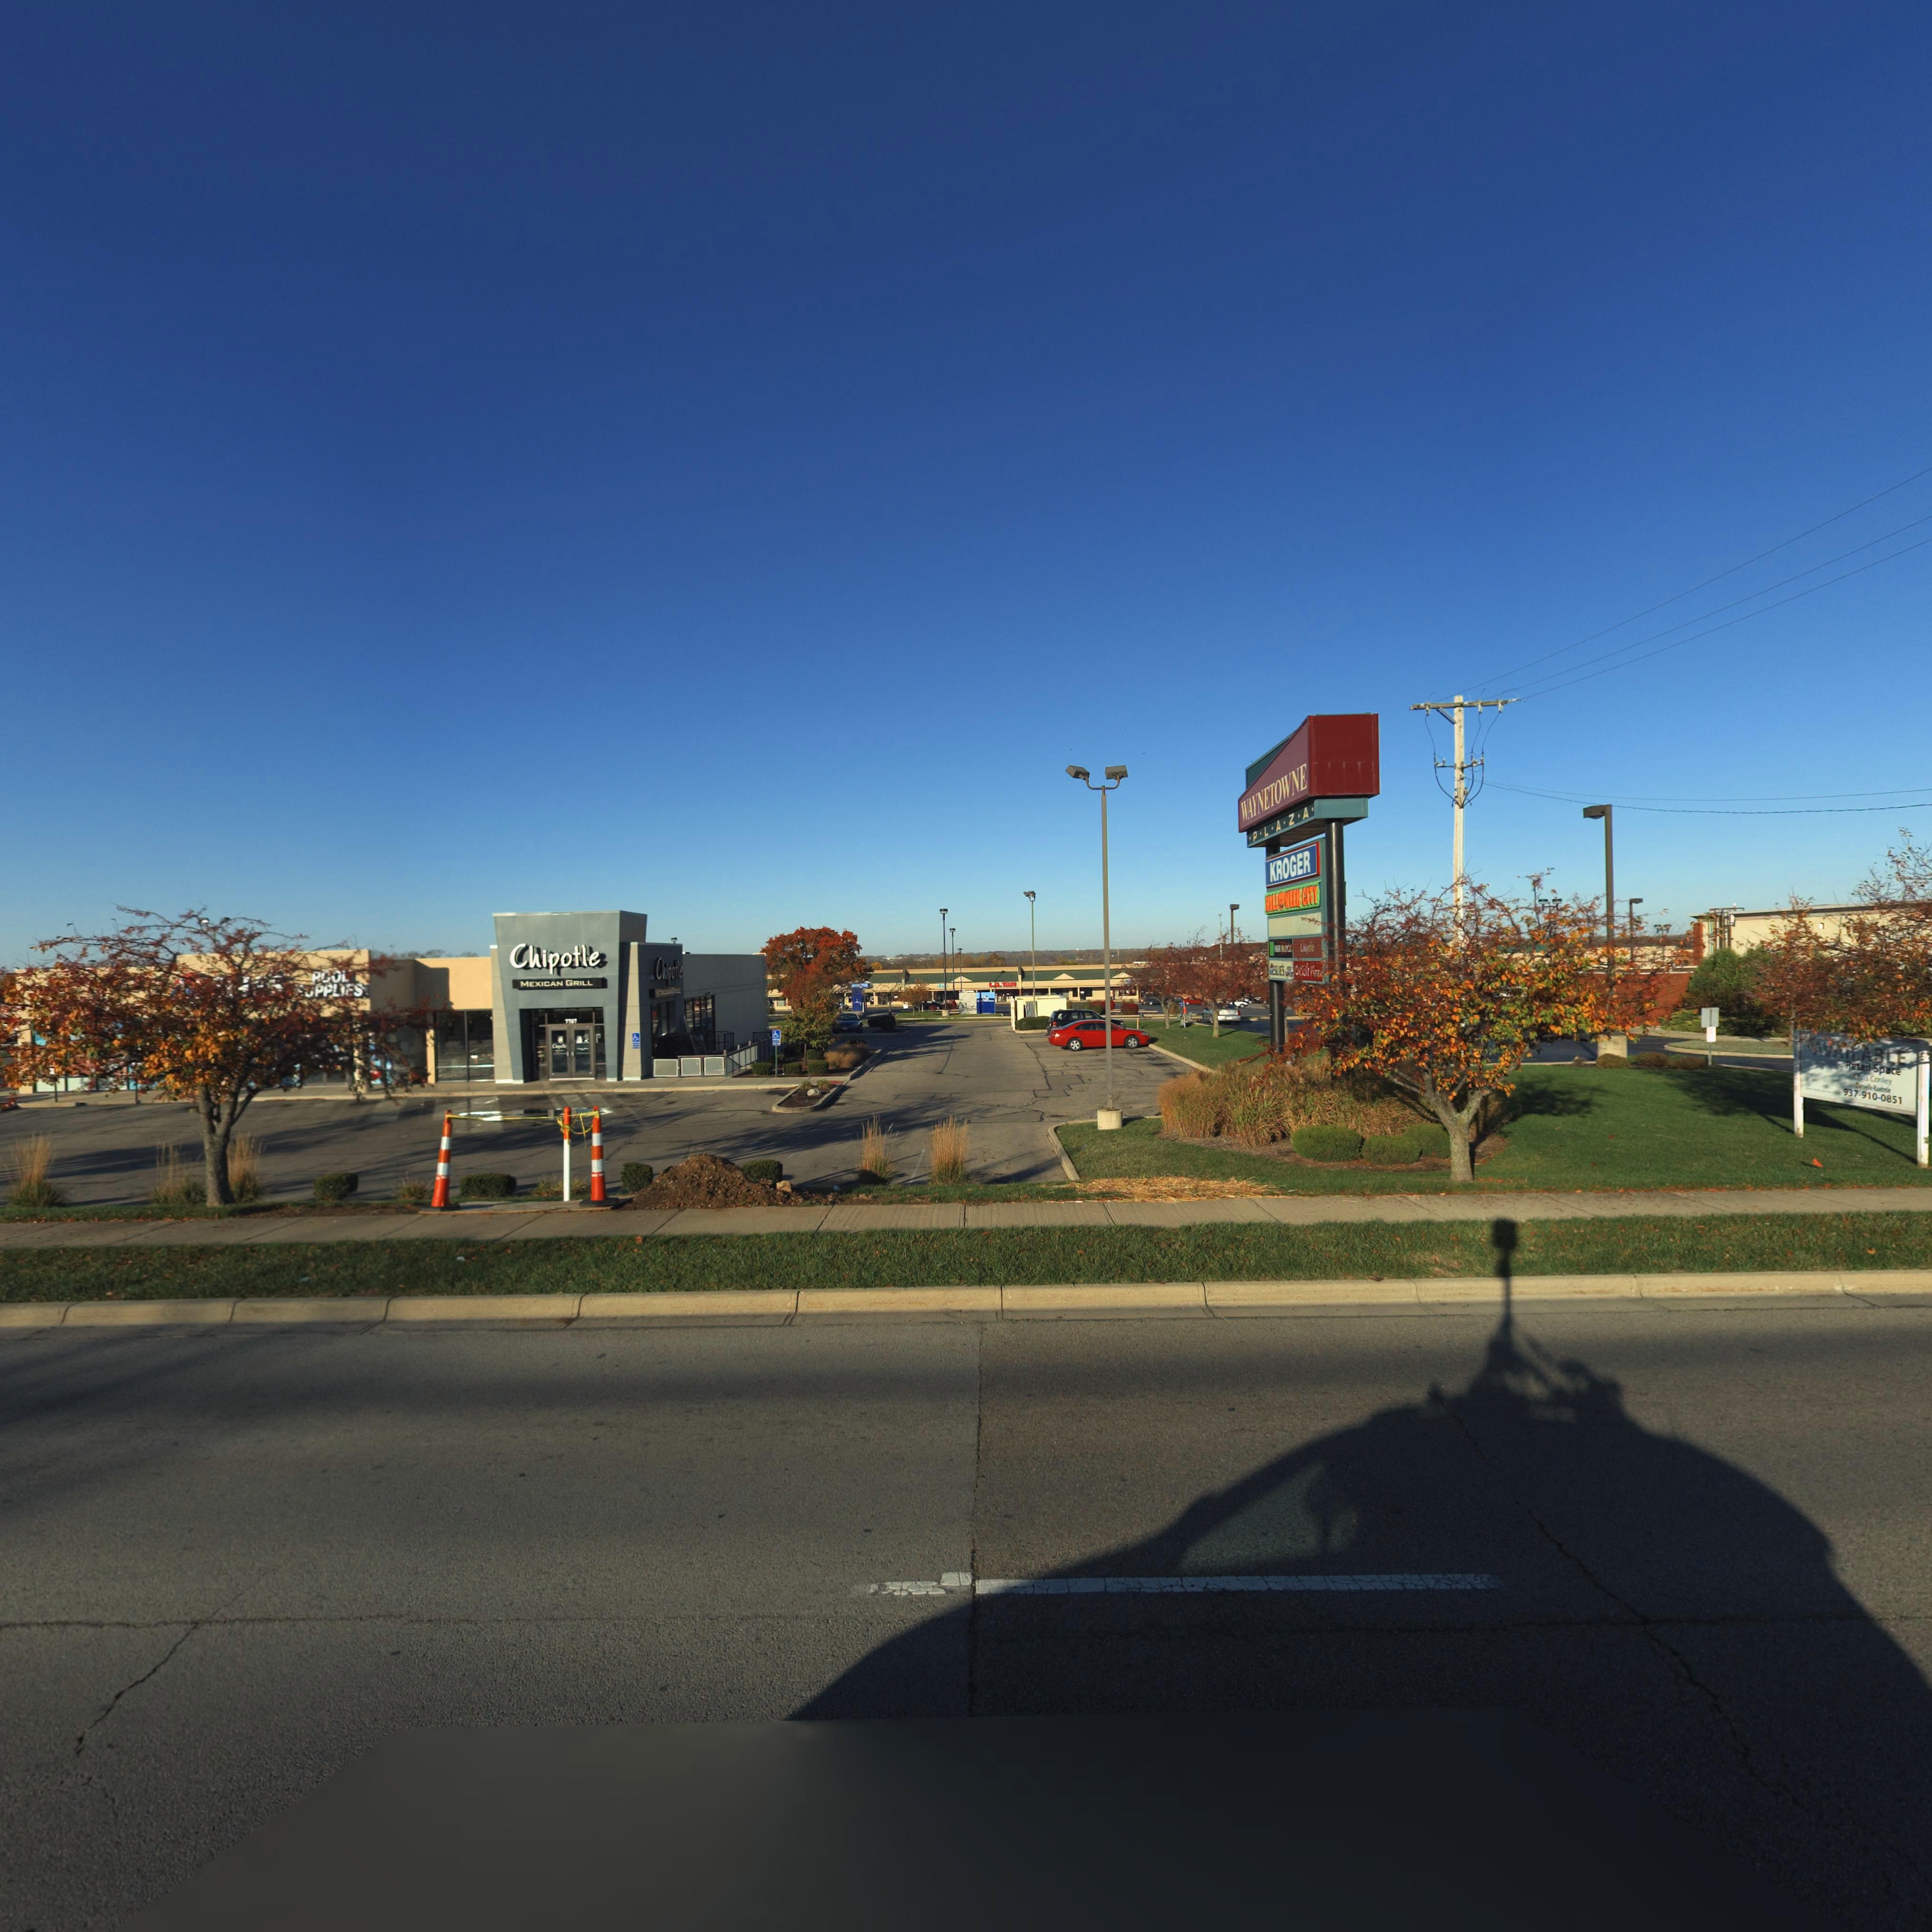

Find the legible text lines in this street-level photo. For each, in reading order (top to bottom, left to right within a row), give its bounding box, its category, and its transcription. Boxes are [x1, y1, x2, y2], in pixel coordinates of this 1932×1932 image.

[1269, 849, 1312, 884] BusinessName: KROGER
[1265, 884, 1319, 914] BusinessName: HALLOWEEN CITY
[1274, 944, 1293, 953] None: *** BLOCK
[509, 943, 602, 976] BusinessName: Chipotle
[311, 970, 350, 984] BusinessName: POOL
[314, 982, 364, 998] BusinessName: PPLIES
[520, 979, 594, 987] BusinessName: MEXICAN GRILL
[655, 956, 684, 987] BusinessName: Chipotle
[1269, 964, 1285, 976] BusinessName: LESLIES
[563, 1017, 579, 1025] StreetNumber: 7**7